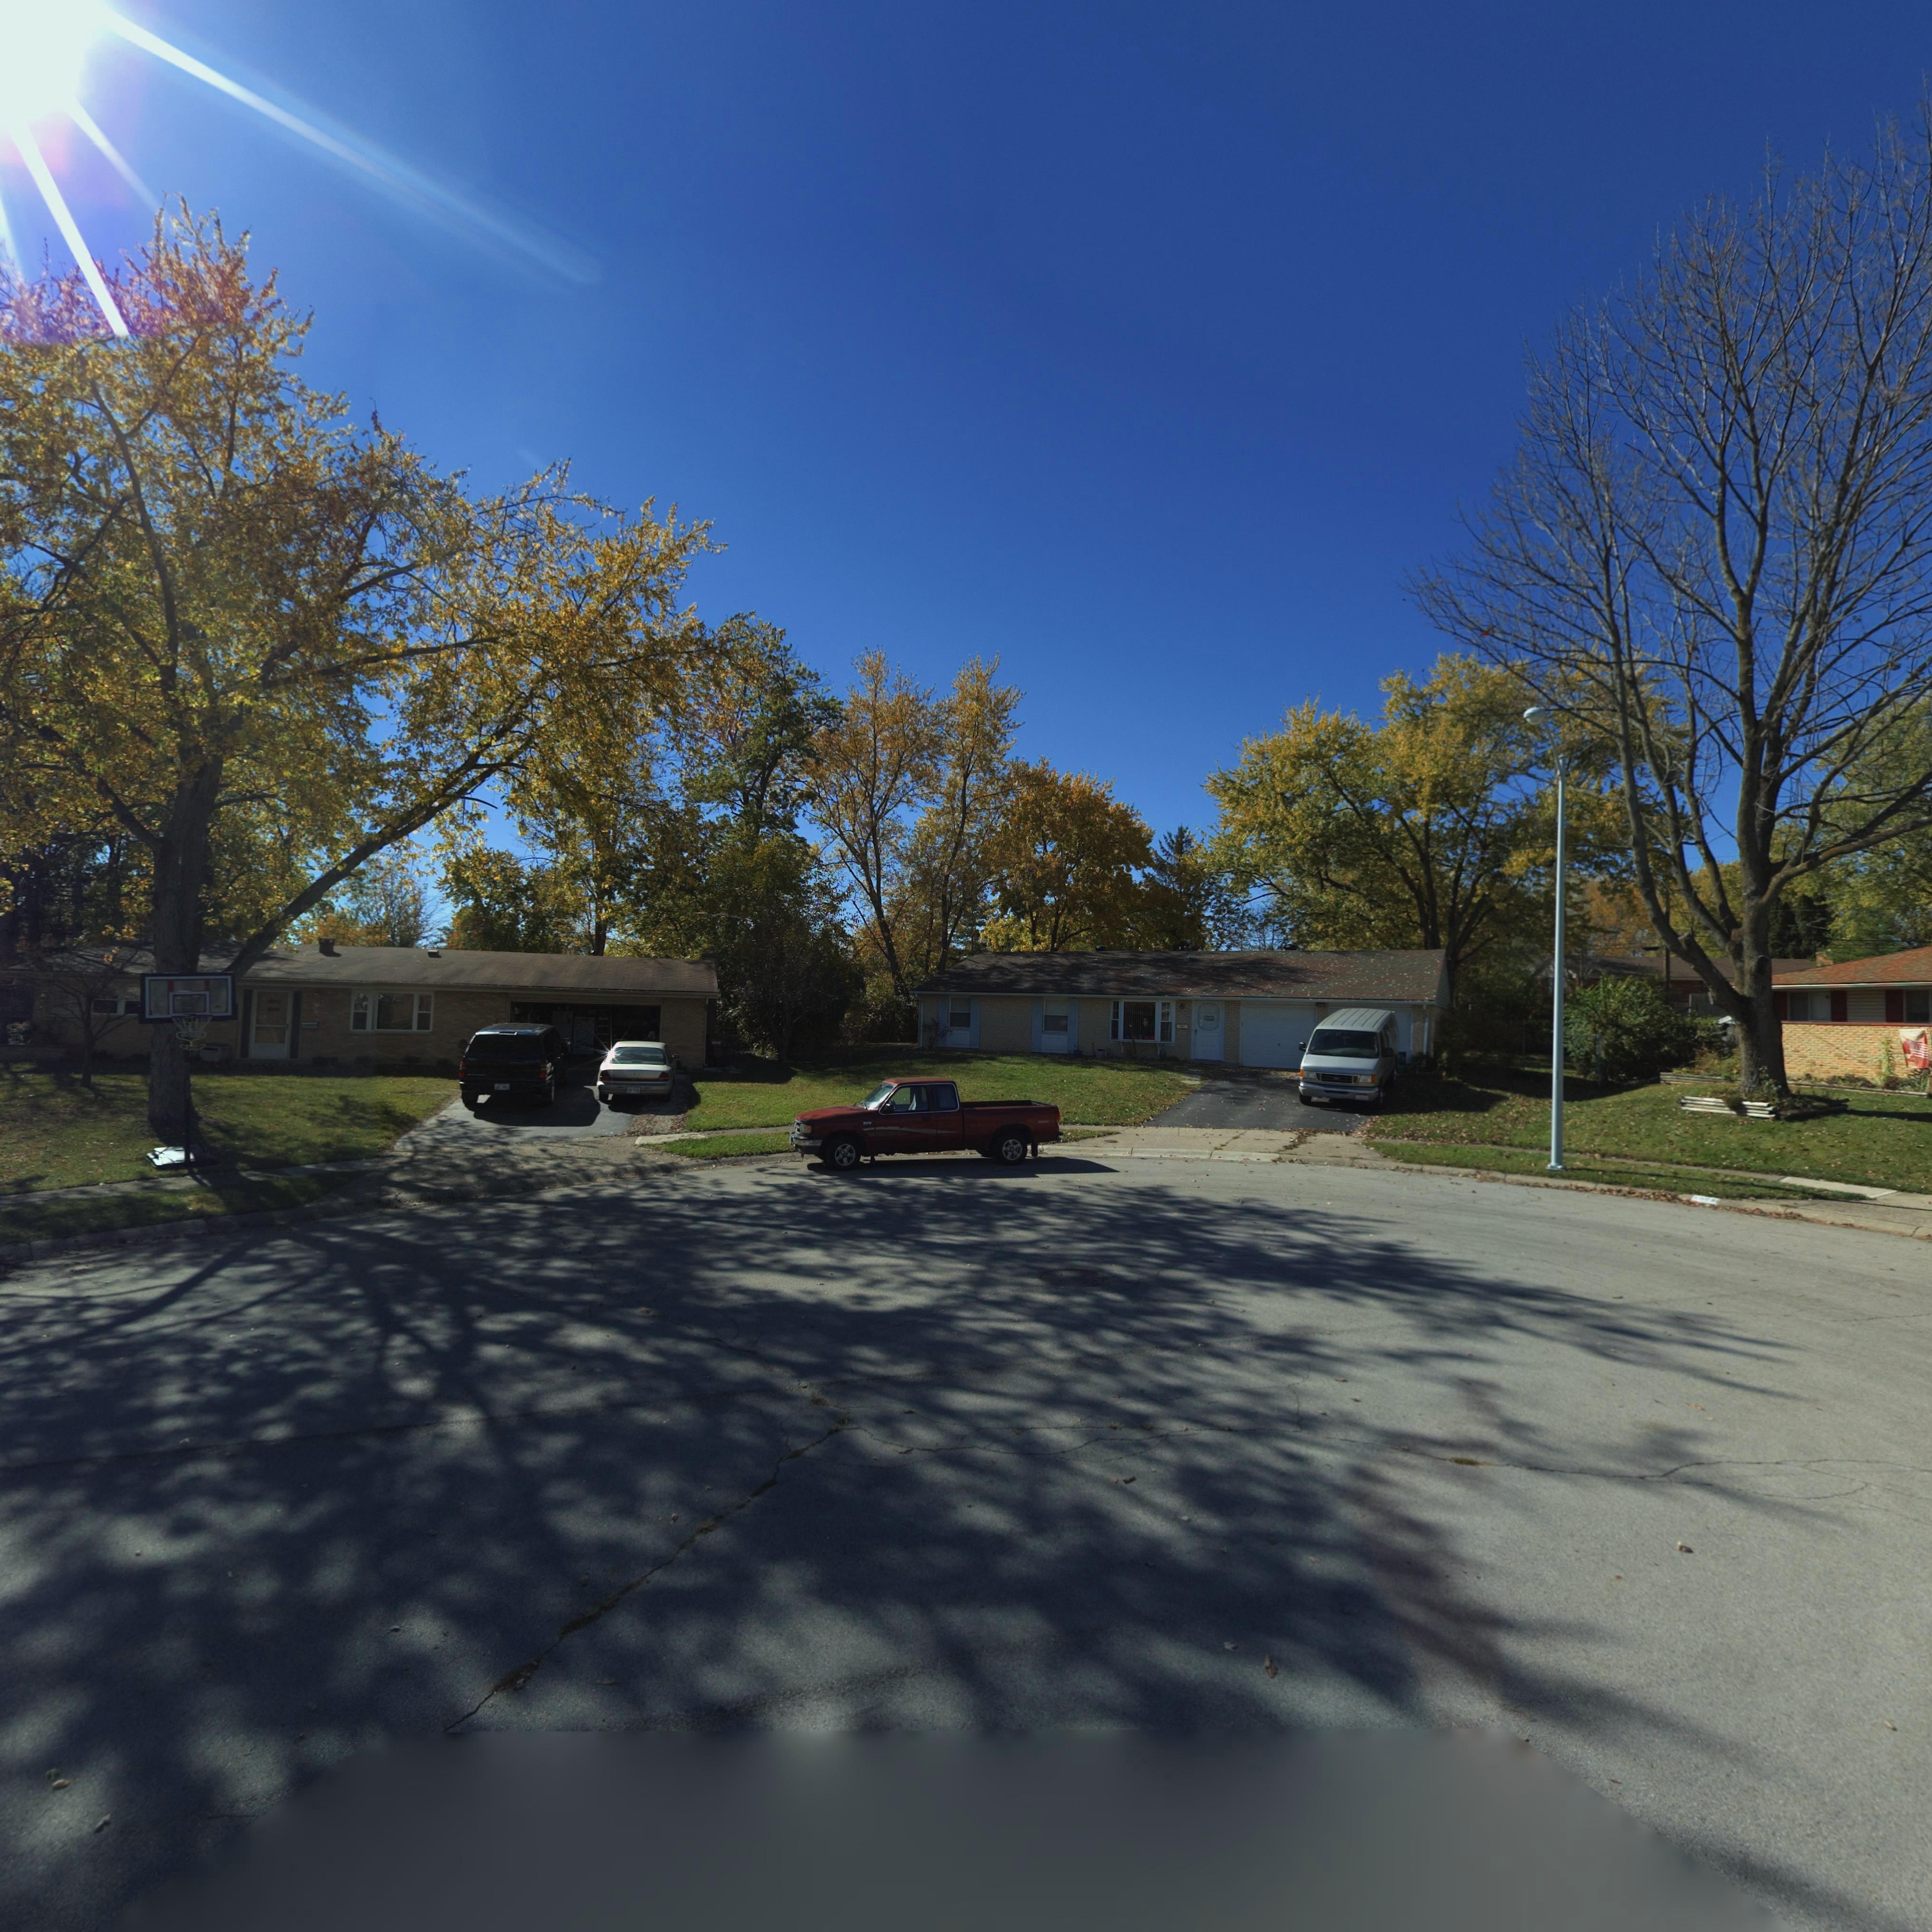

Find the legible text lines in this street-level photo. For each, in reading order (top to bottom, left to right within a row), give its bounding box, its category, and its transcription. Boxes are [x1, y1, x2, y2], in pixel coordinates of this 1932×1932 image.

[1693, 1196, 1717, 1203] StreetNumber: 100*